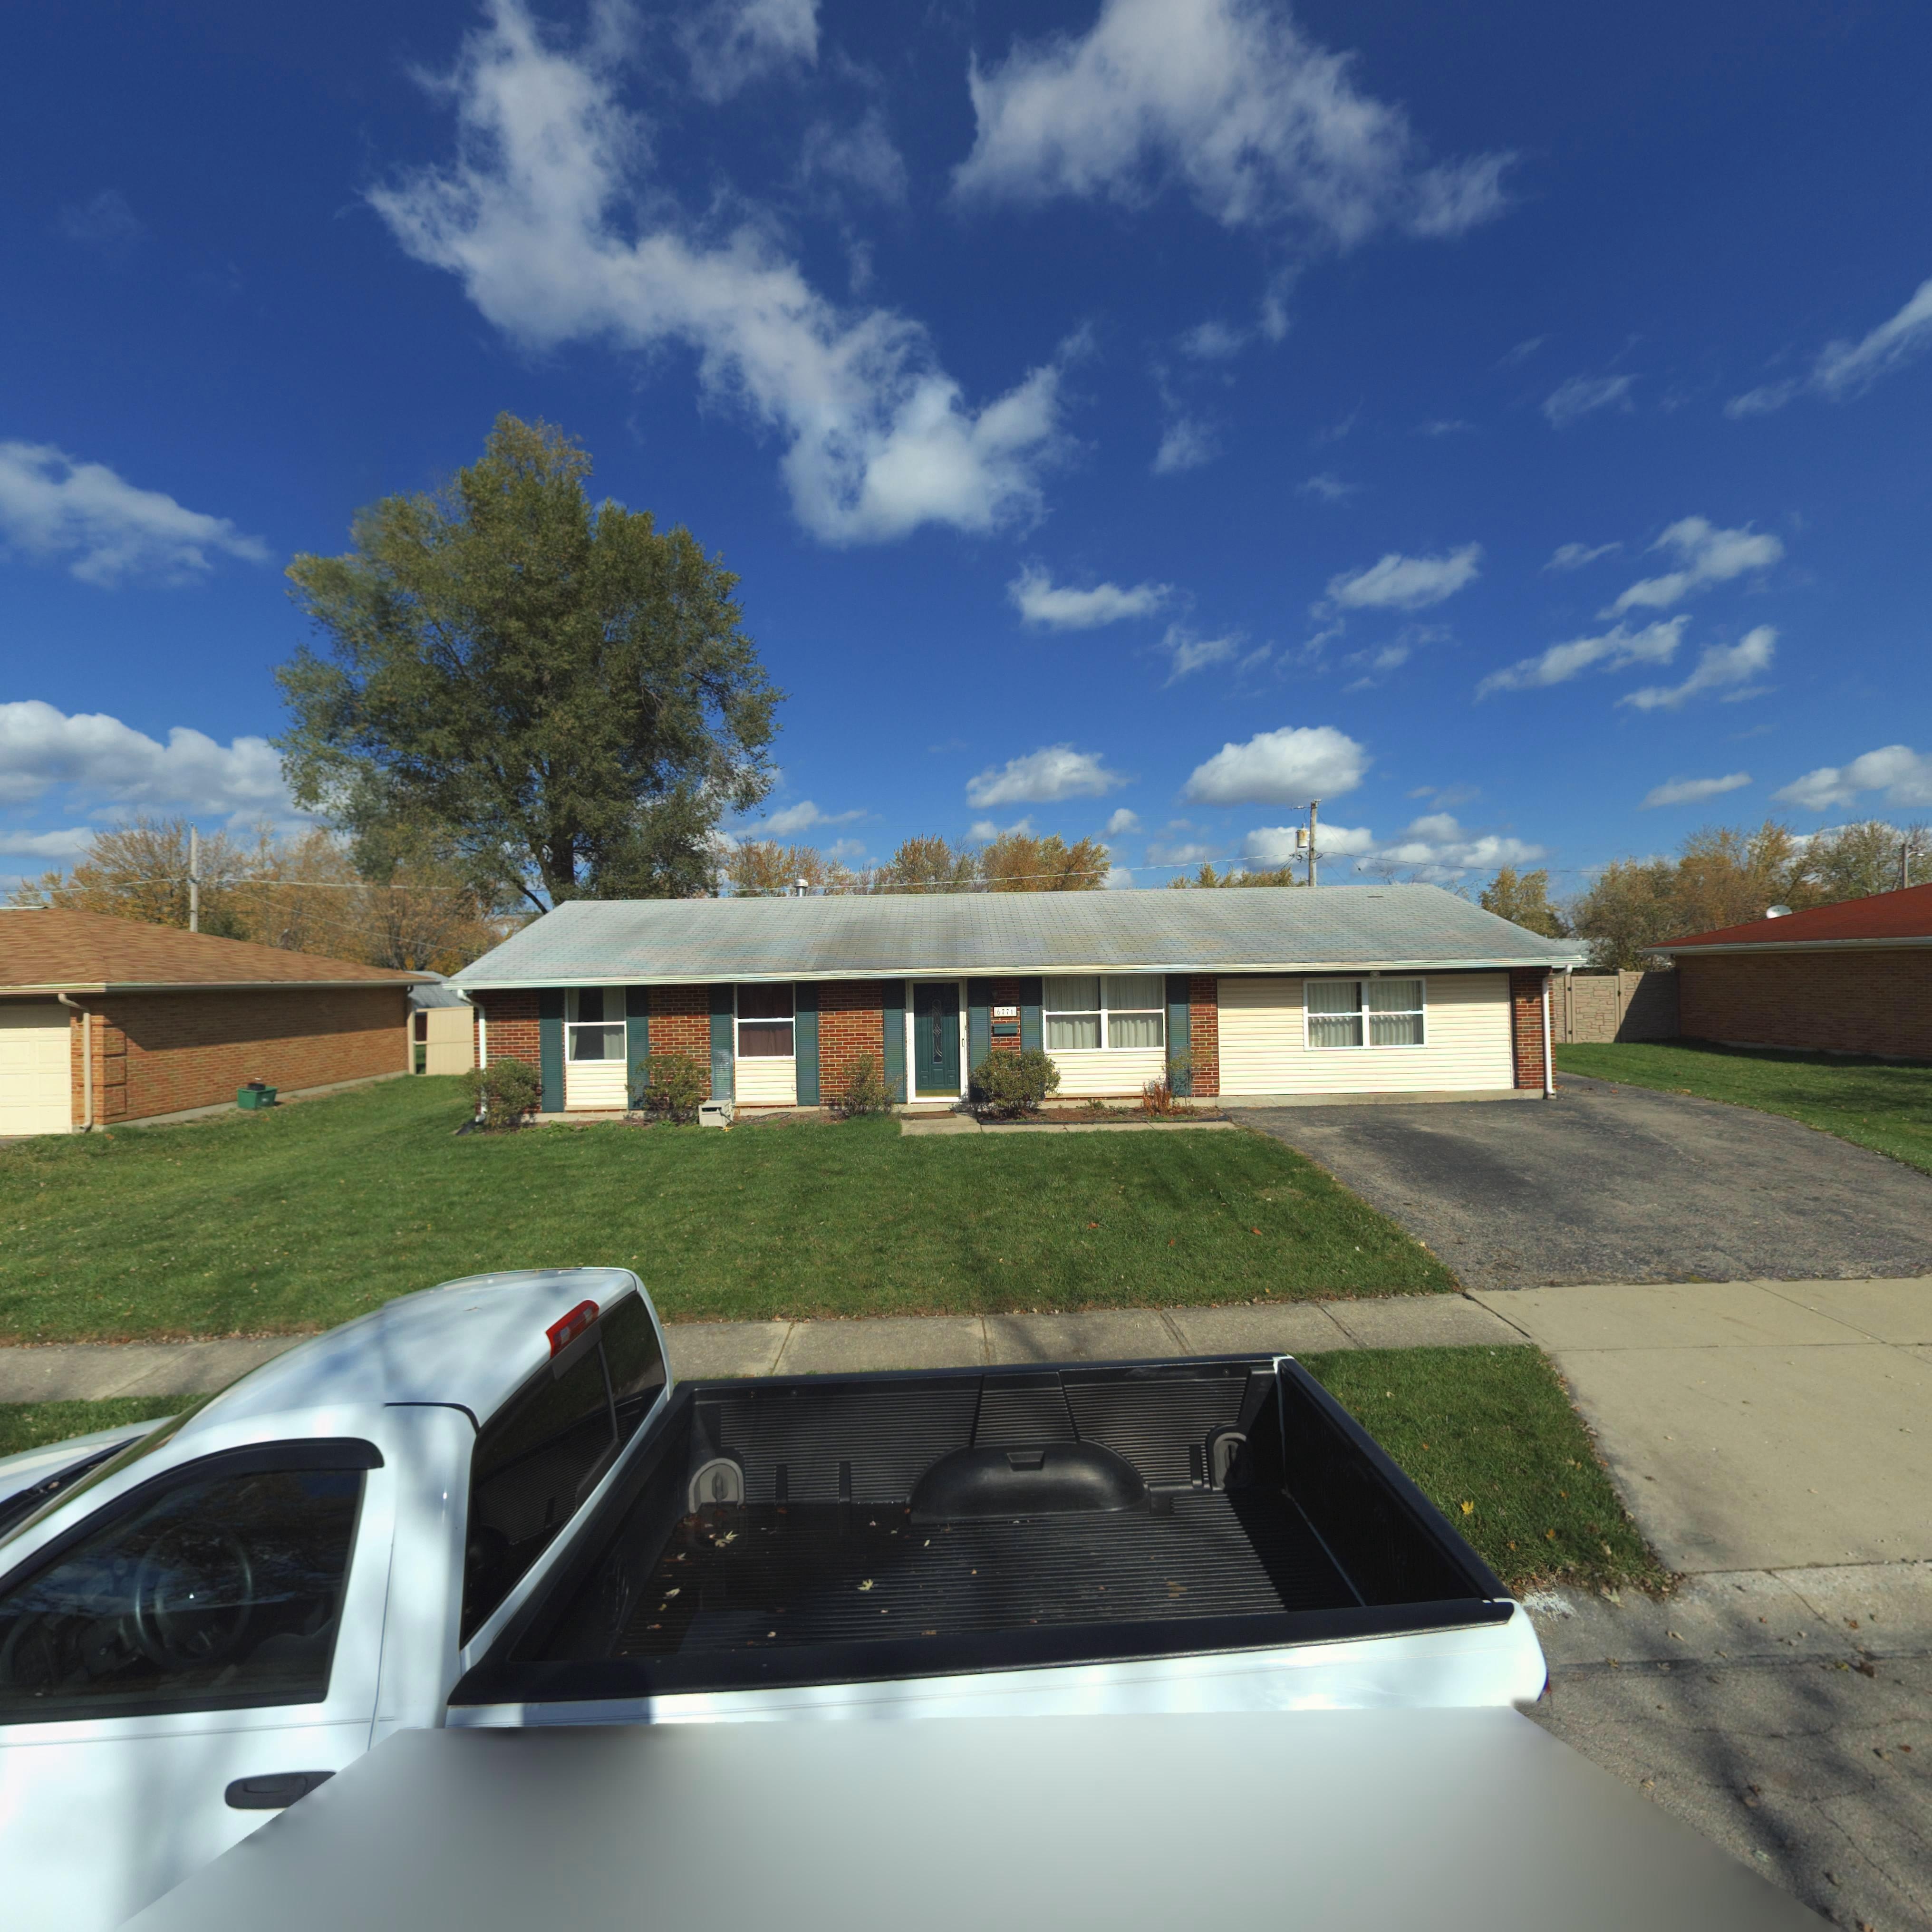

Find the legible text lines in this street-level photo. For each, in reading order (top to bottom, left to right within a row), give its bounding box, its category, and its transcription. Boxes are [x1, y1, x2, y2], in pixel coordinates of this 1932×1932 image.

[996, 1008, 1013, 1015] StreetNumber: 6771